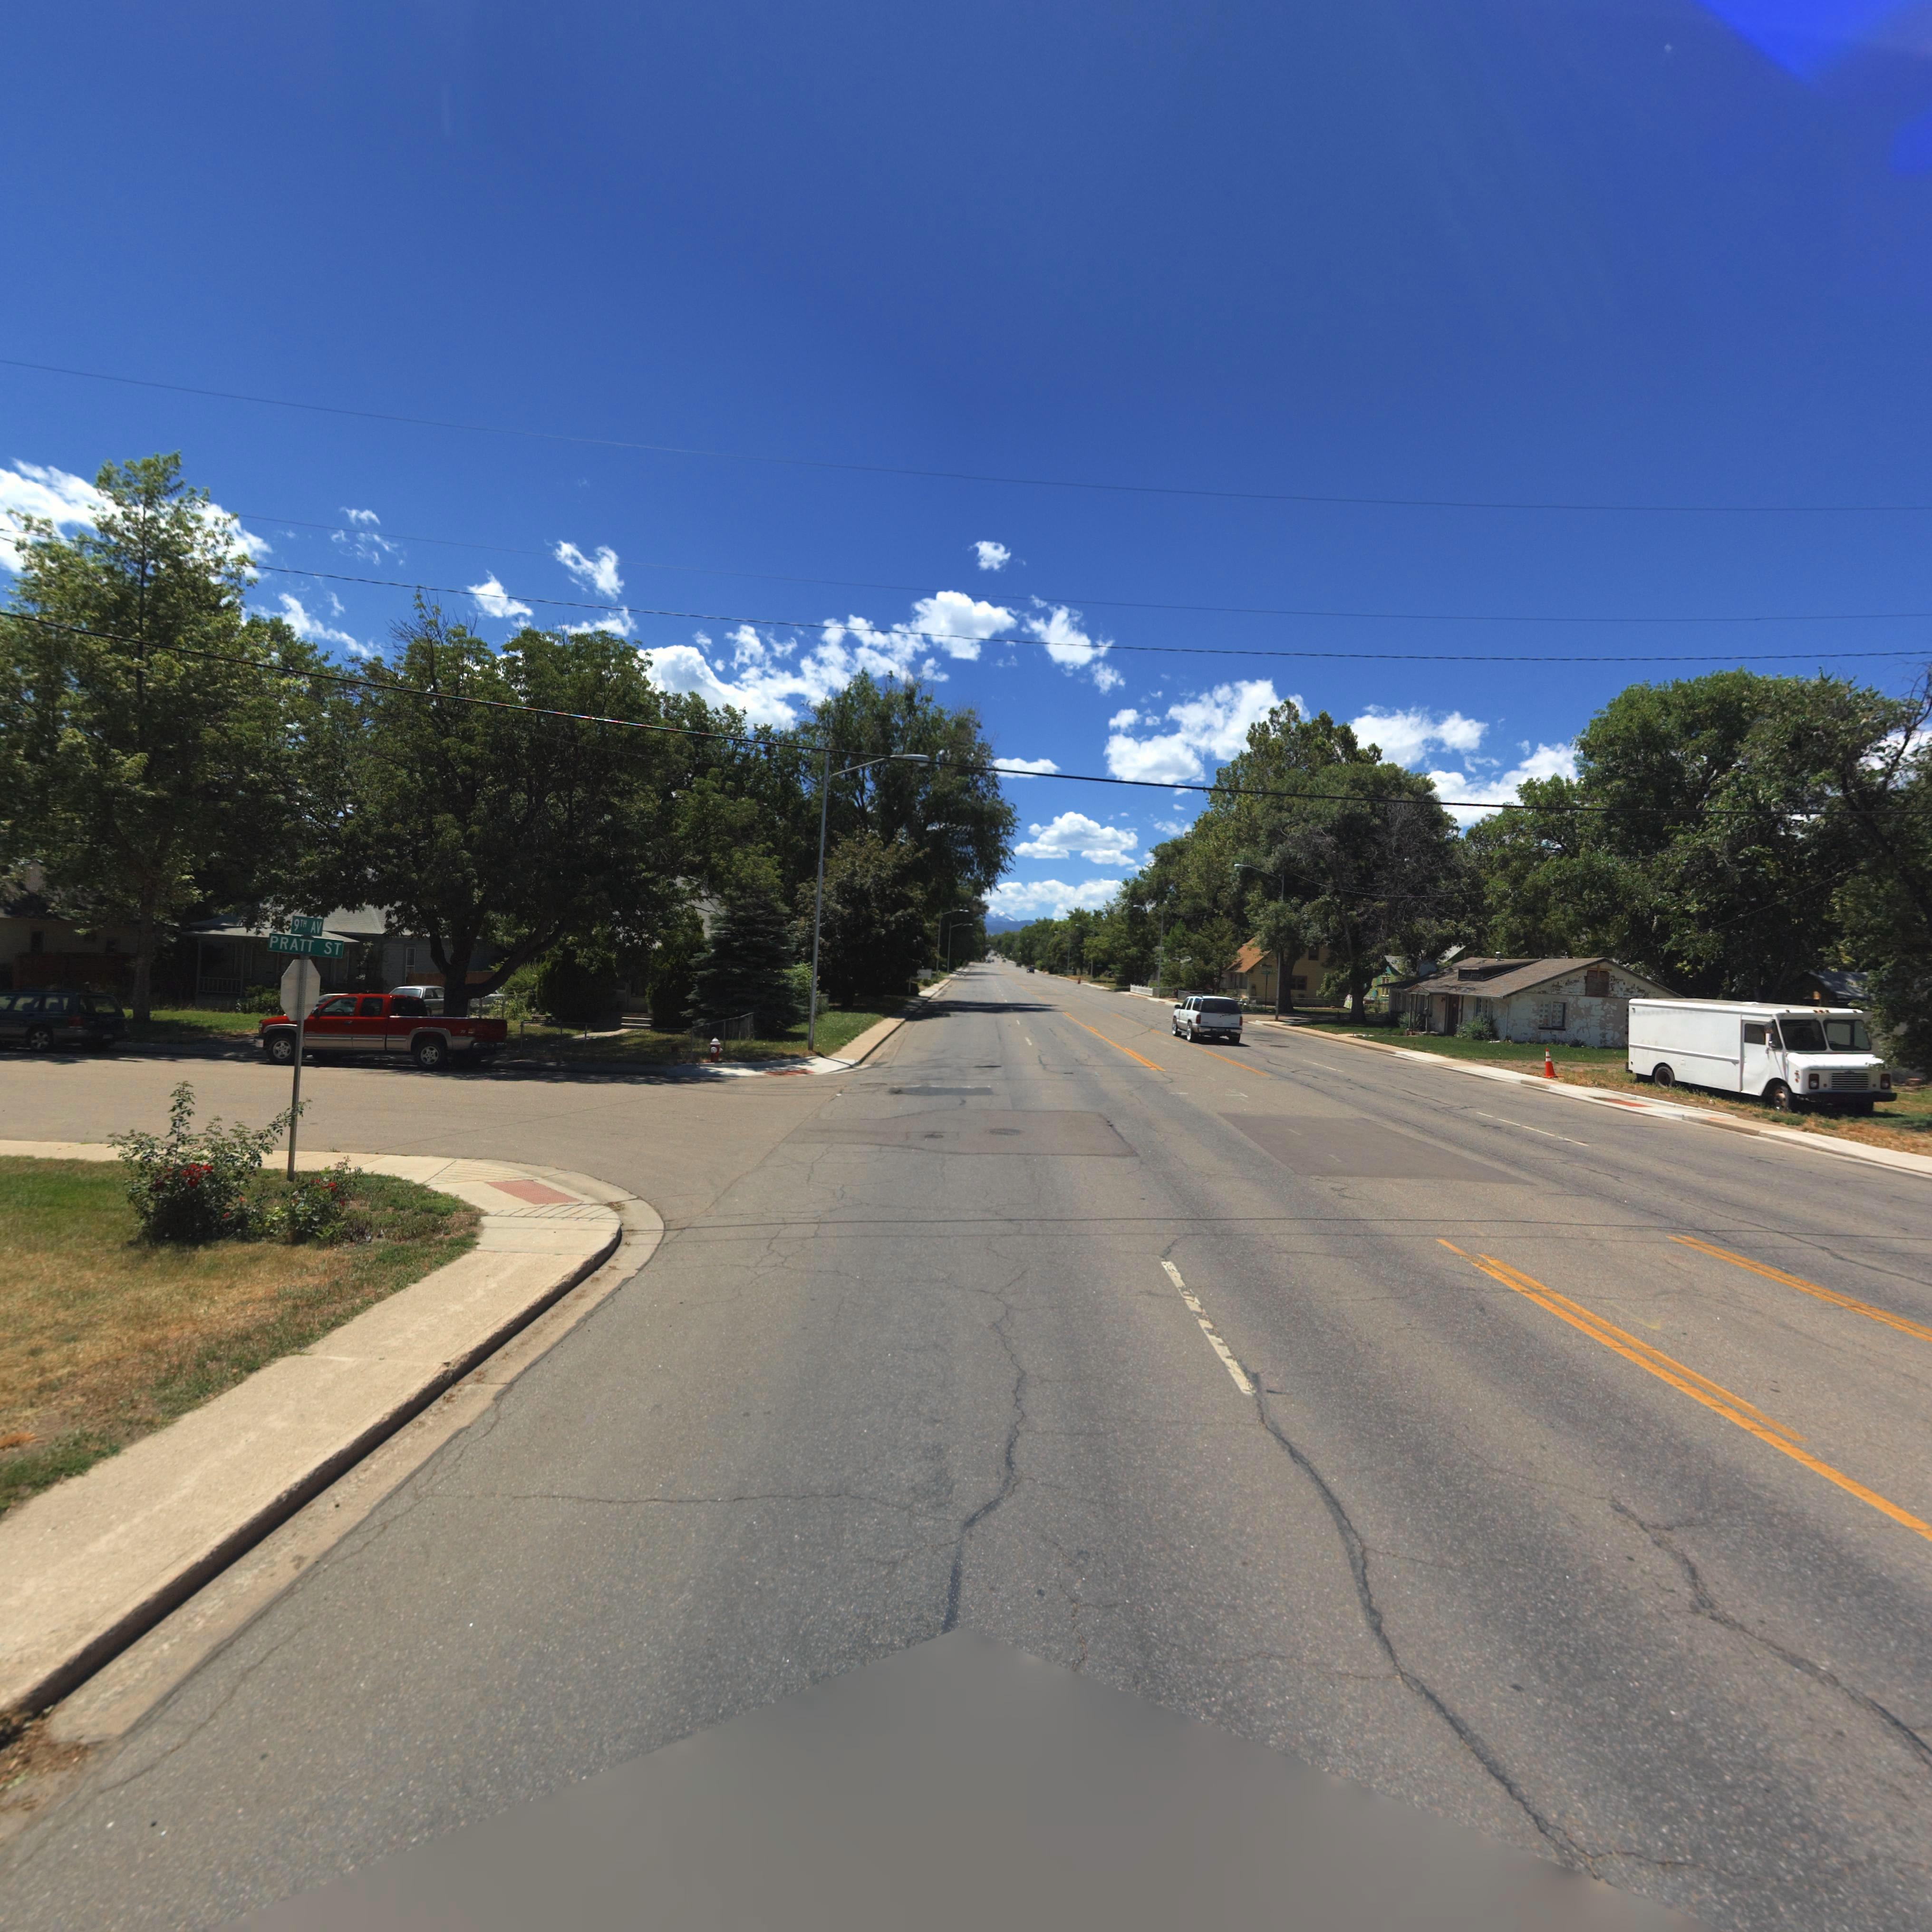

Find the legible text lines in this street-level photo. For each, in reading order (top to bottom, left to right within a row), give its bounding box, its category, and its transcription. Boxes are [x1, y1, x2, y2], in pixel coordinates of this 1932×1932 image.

[293, 918, 323, 934] StreetName: 9TH AV
[269, 935, 342, 956] StreetName: PRATT ST